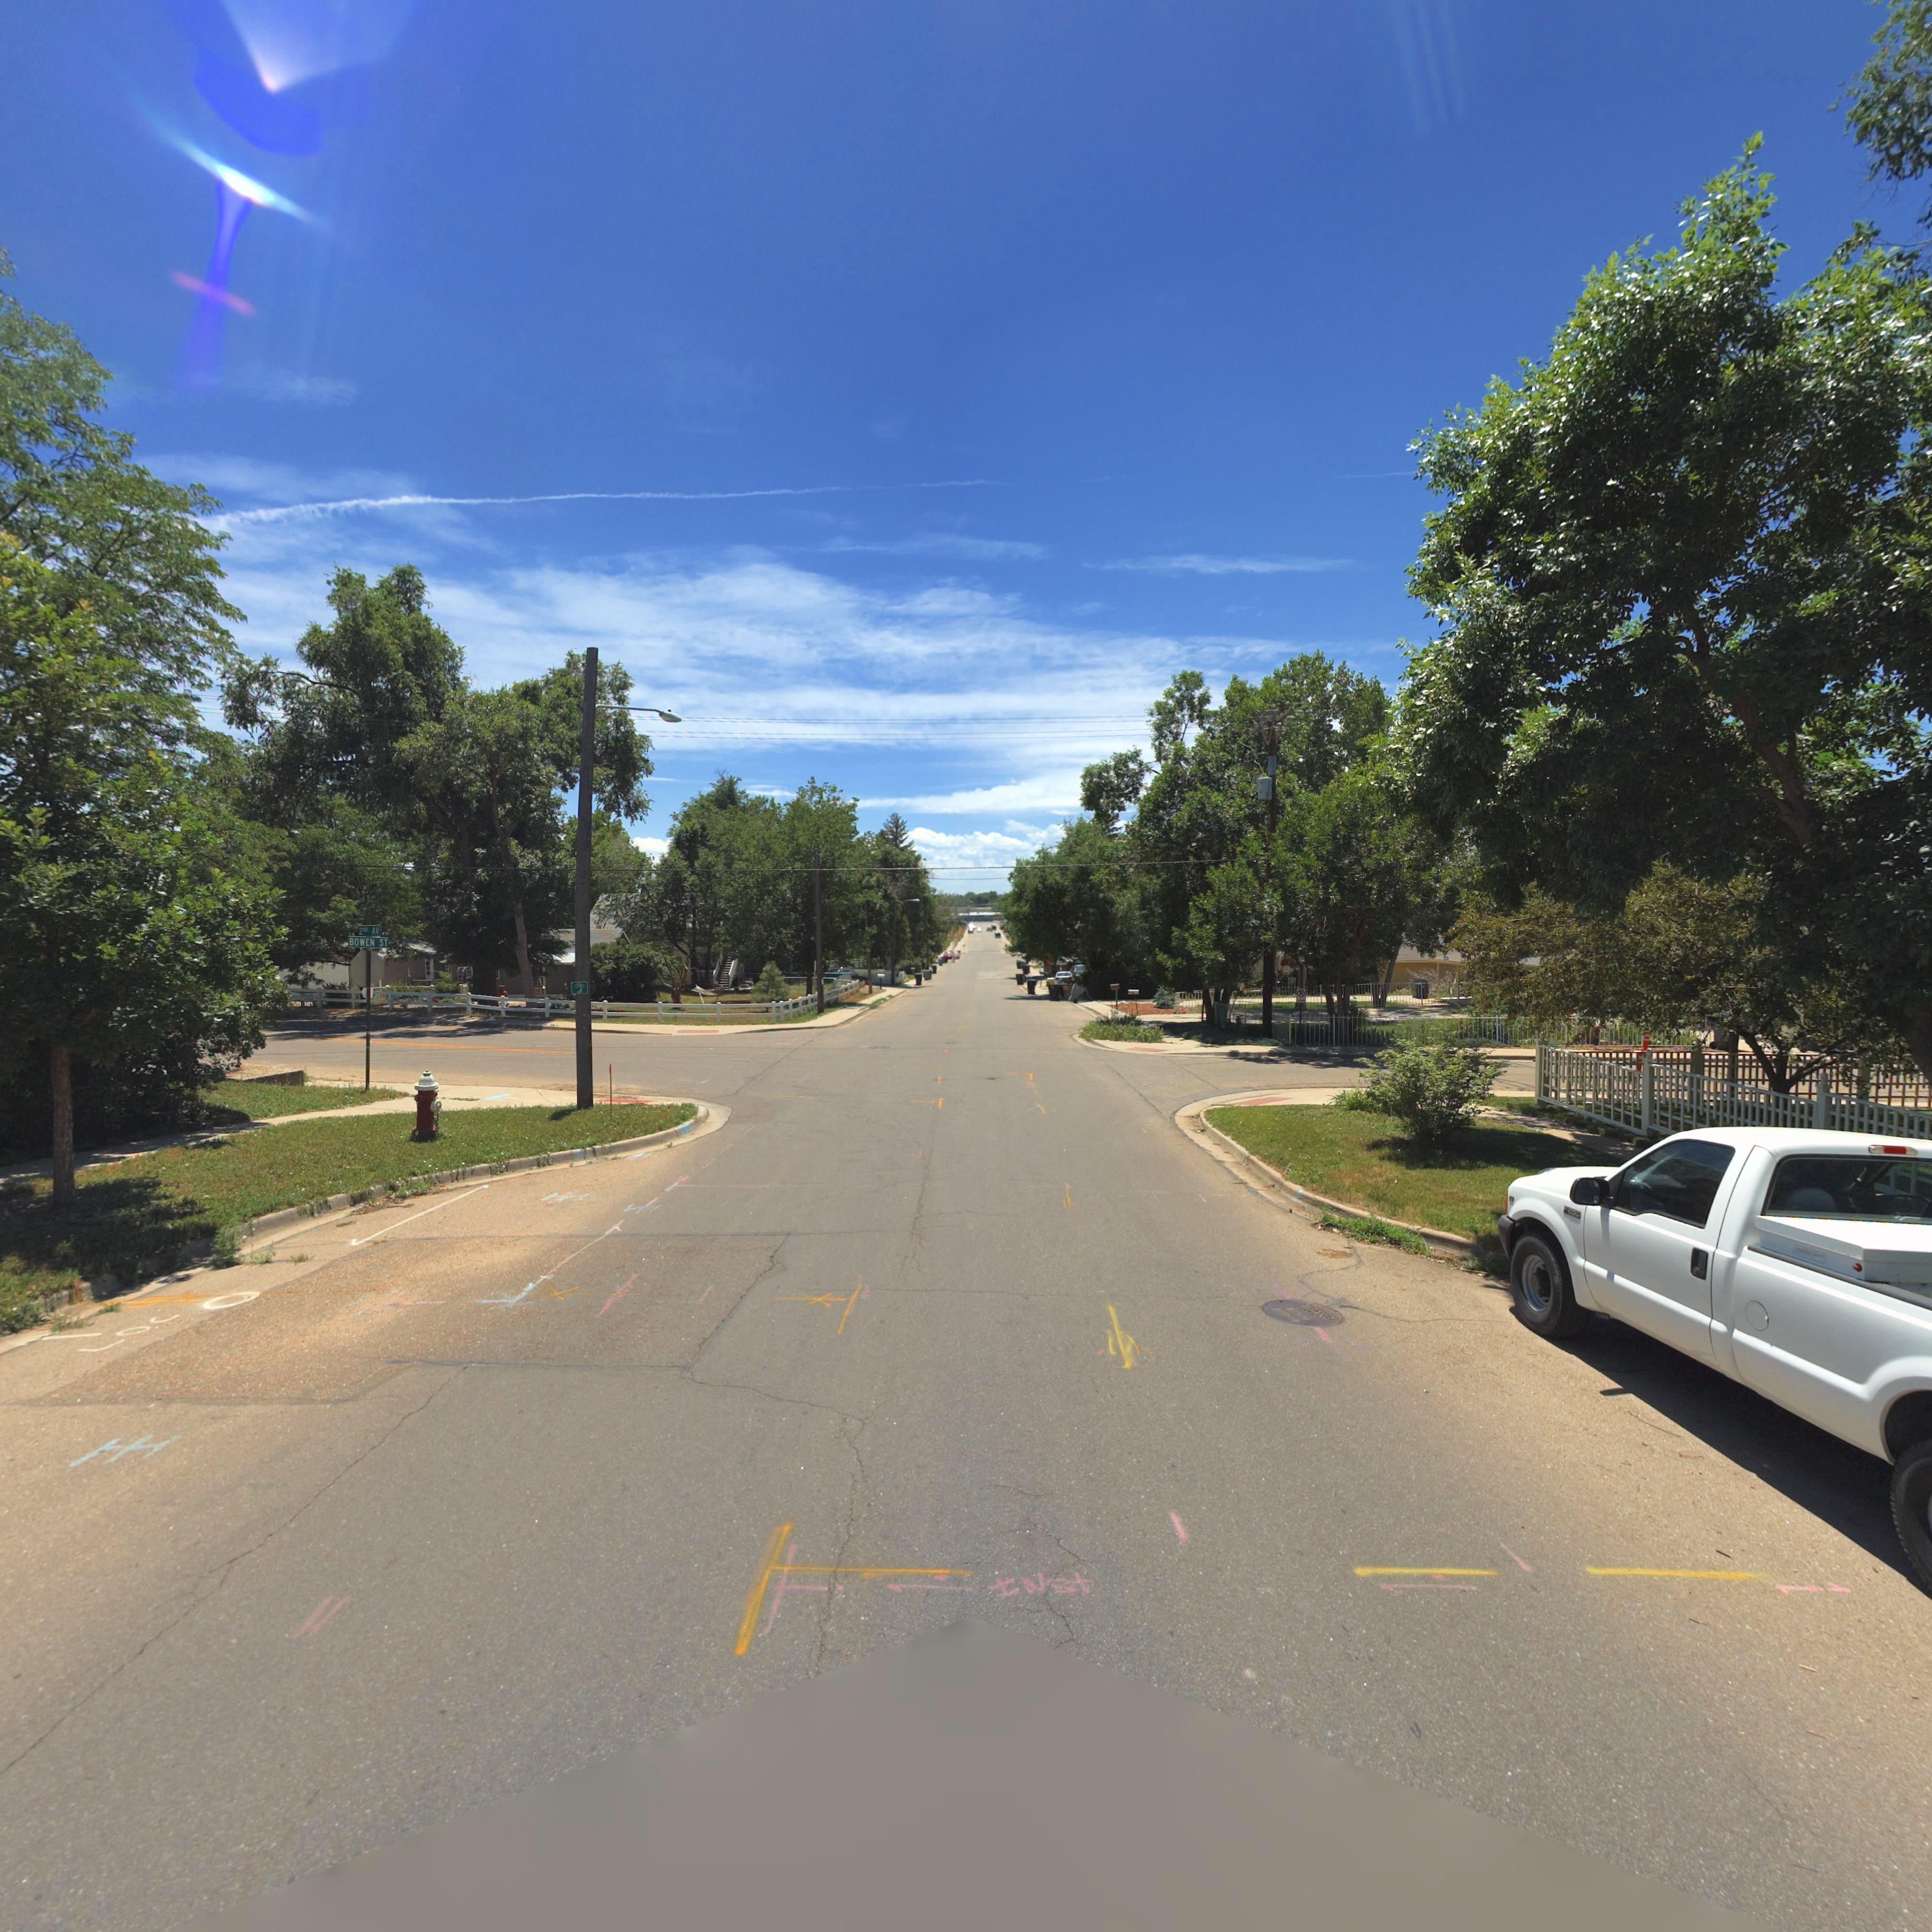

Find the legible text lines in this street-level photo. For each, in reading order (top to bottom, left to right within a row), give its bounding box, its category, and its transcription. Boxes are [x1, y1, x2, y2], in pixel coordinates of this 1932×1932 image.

[358, 926, 380, 935] StreetName: 2ND AV
[349, 937, 388, 947] StreetName: BOWEN ST